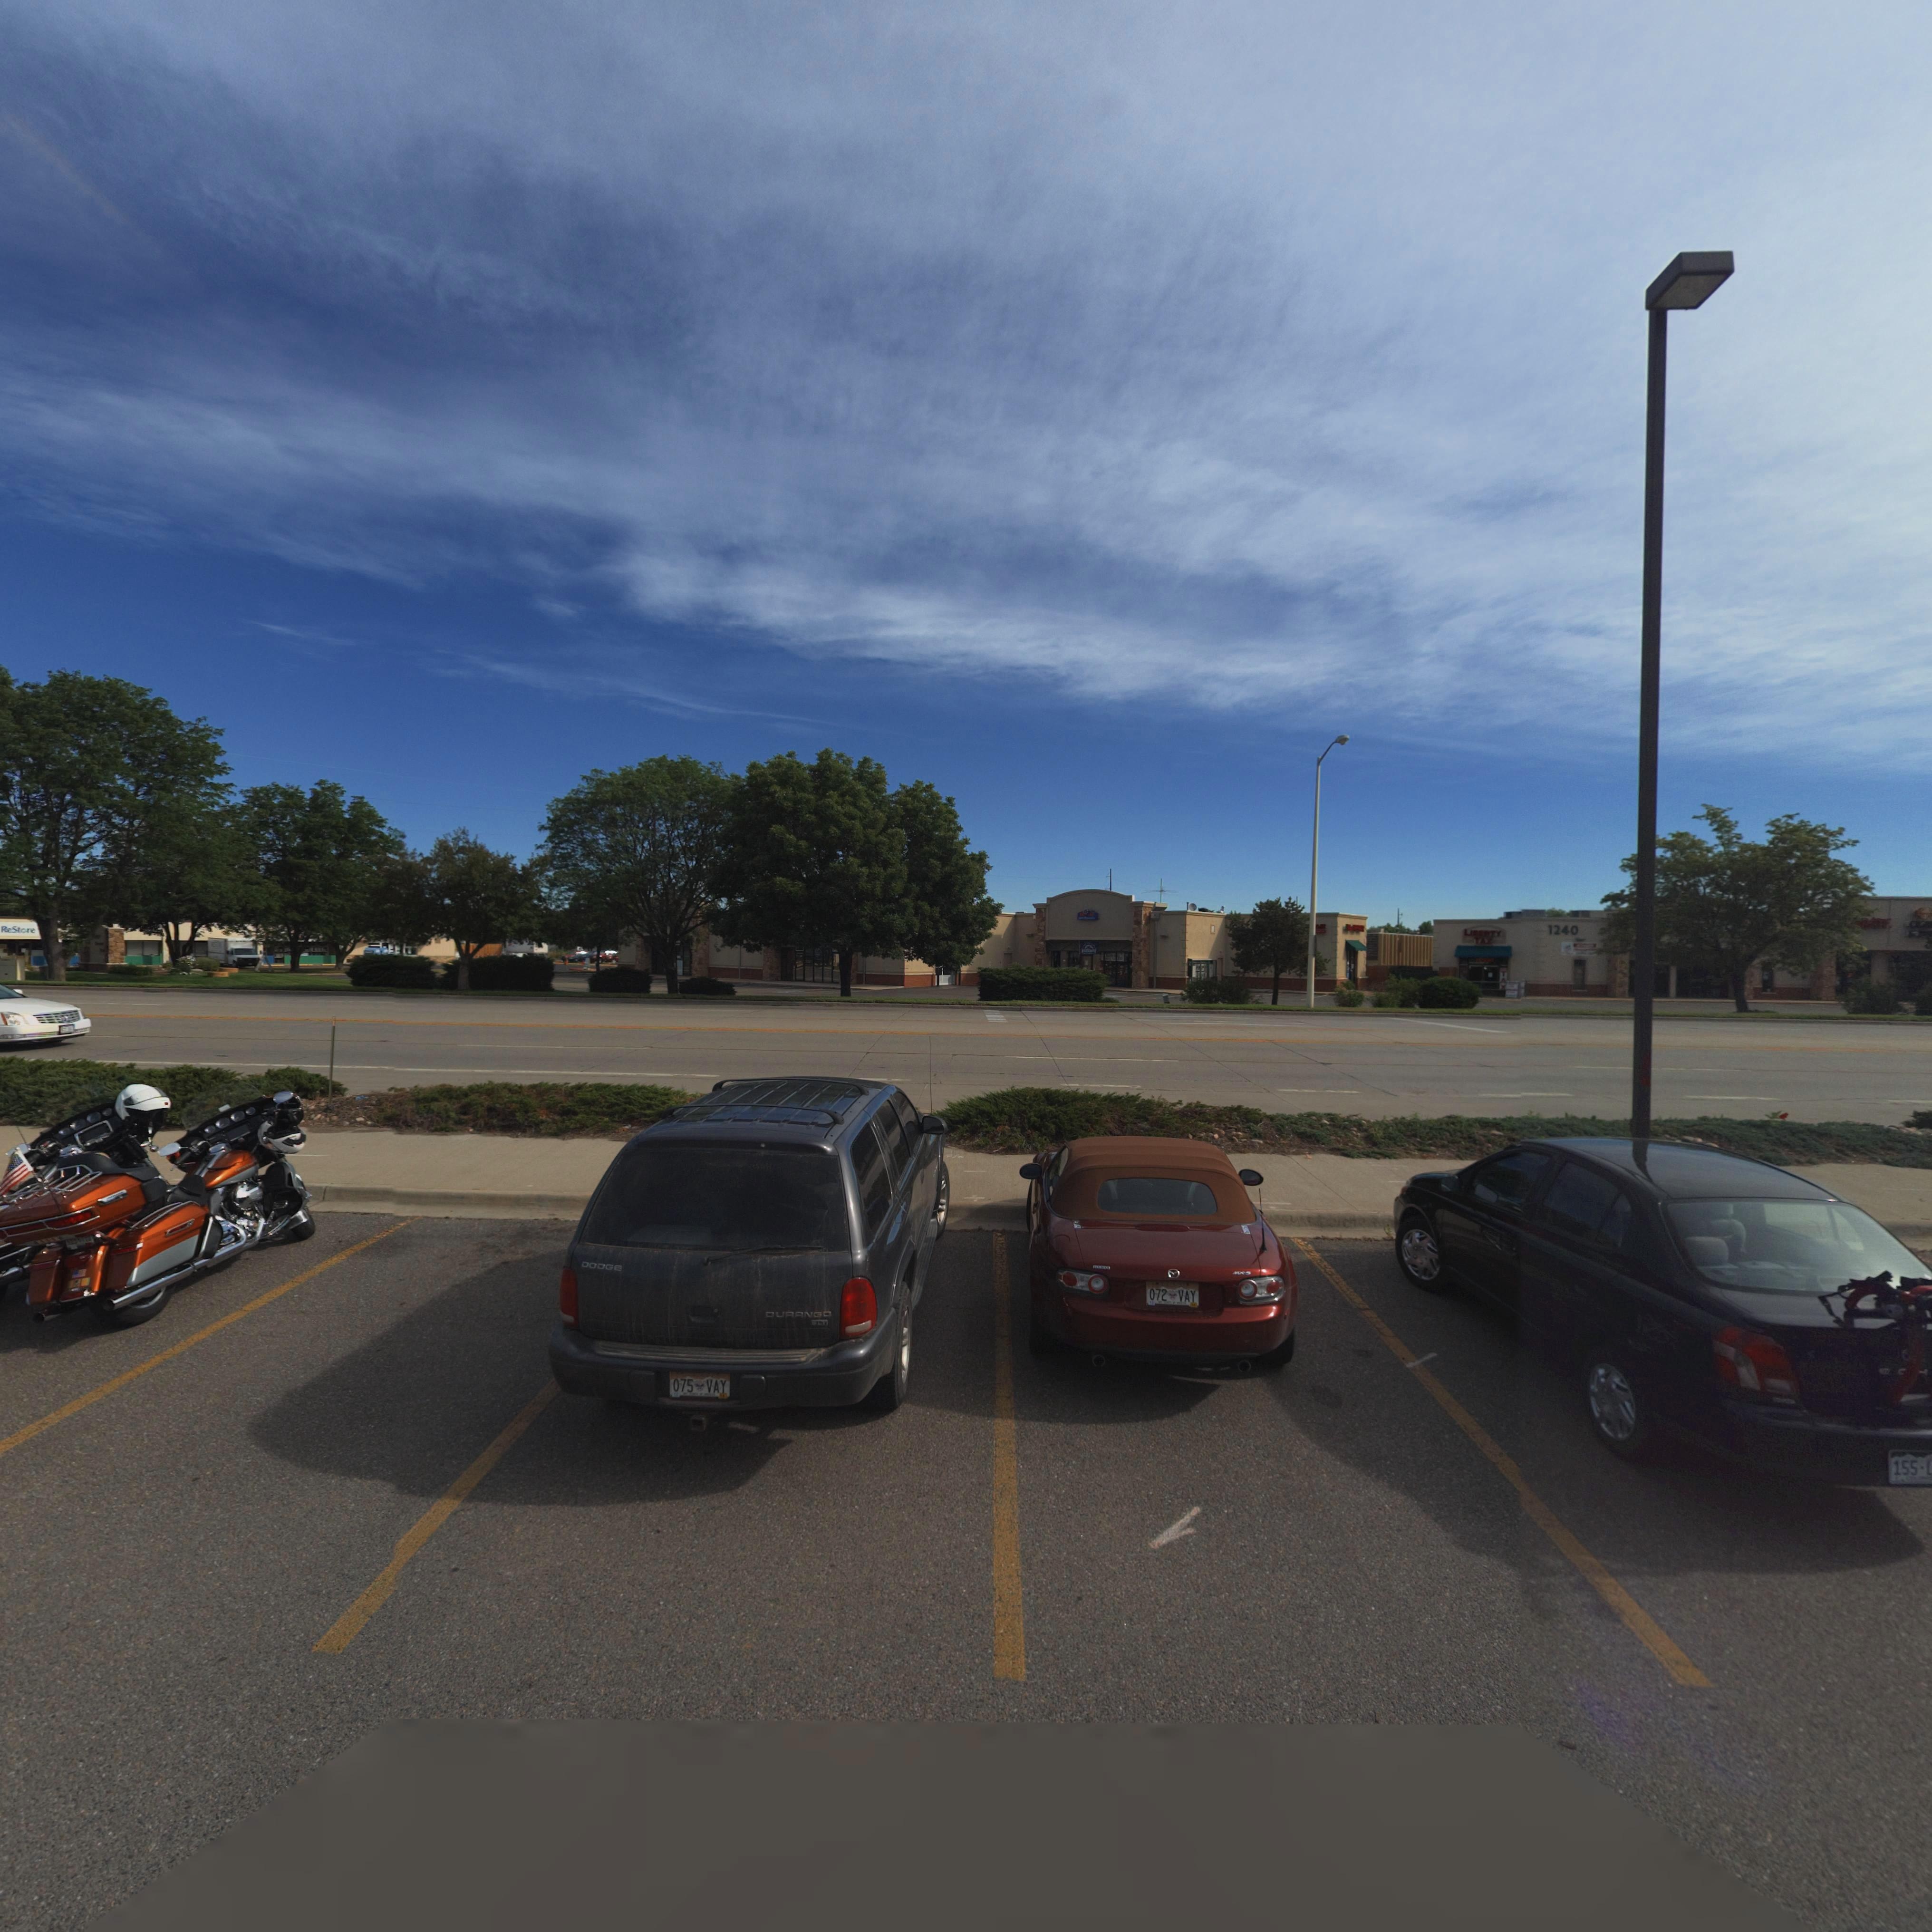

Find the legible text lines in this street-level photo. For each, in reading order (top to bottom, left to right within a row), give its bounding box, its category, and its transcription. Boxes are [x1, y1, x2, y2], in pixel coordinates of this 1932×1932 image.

[1080, 911, 1094, 917] BusinessName: **D
[1909, 920, 1928, 928] BusinessName: O*
[1, 926, 35, 933] BusinessName: ReStore
[1464, 929, 1502, 936] BusinessName: LIBERTY
[1548, 925, 1579, 936] StreetNumber: 1240
[1473, 937, 1493, 945] BusinessName: TAX
[1500, 970, 1507, 989] BusinessName: TAX